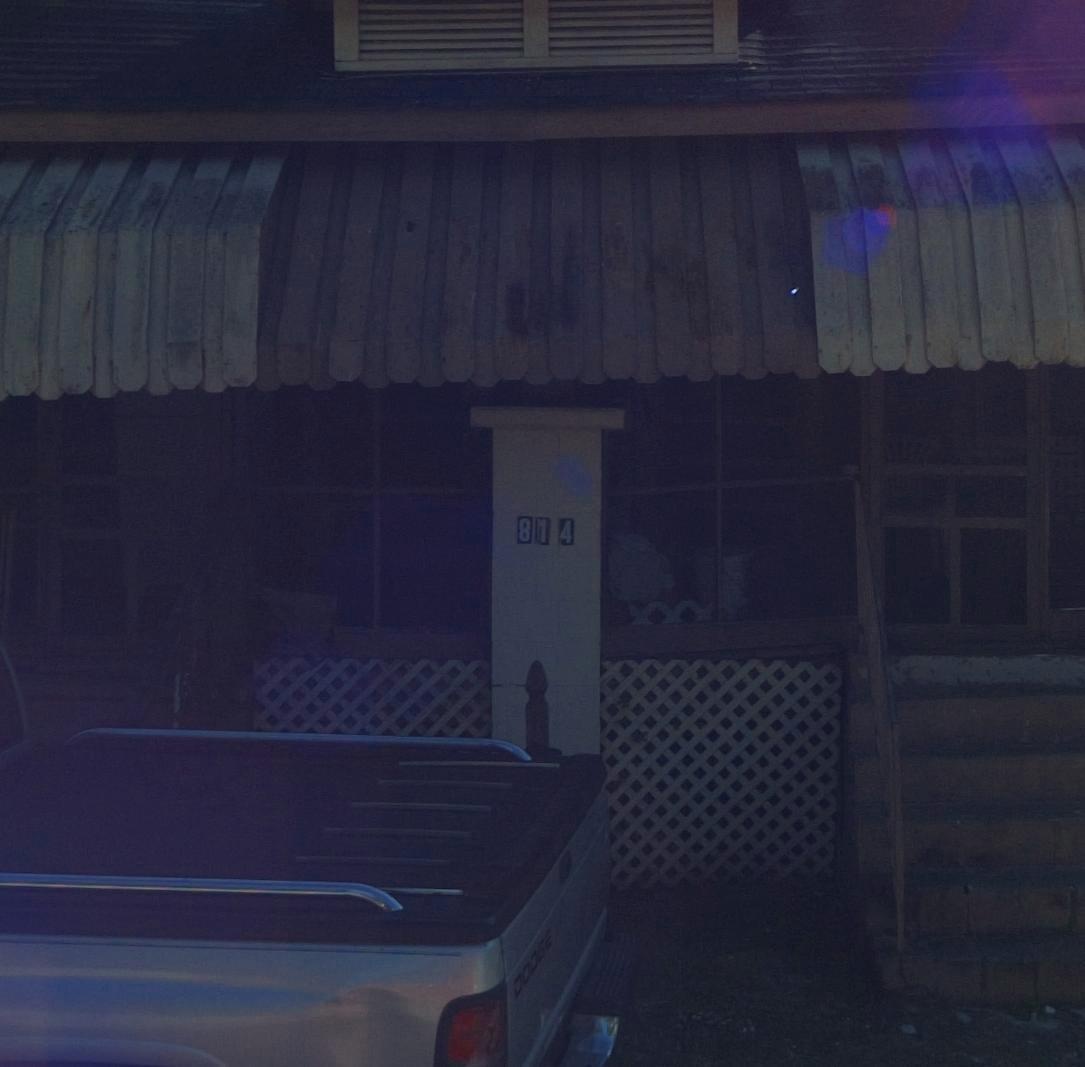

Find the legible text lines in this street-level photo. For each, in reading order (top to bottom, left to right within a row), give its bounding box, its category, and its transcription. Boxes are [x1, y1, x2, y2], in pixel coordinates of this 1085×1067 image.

[517, 515, 573, 546] StreetNumber: 814
[511, 921, 555, 1003] None: DODGE